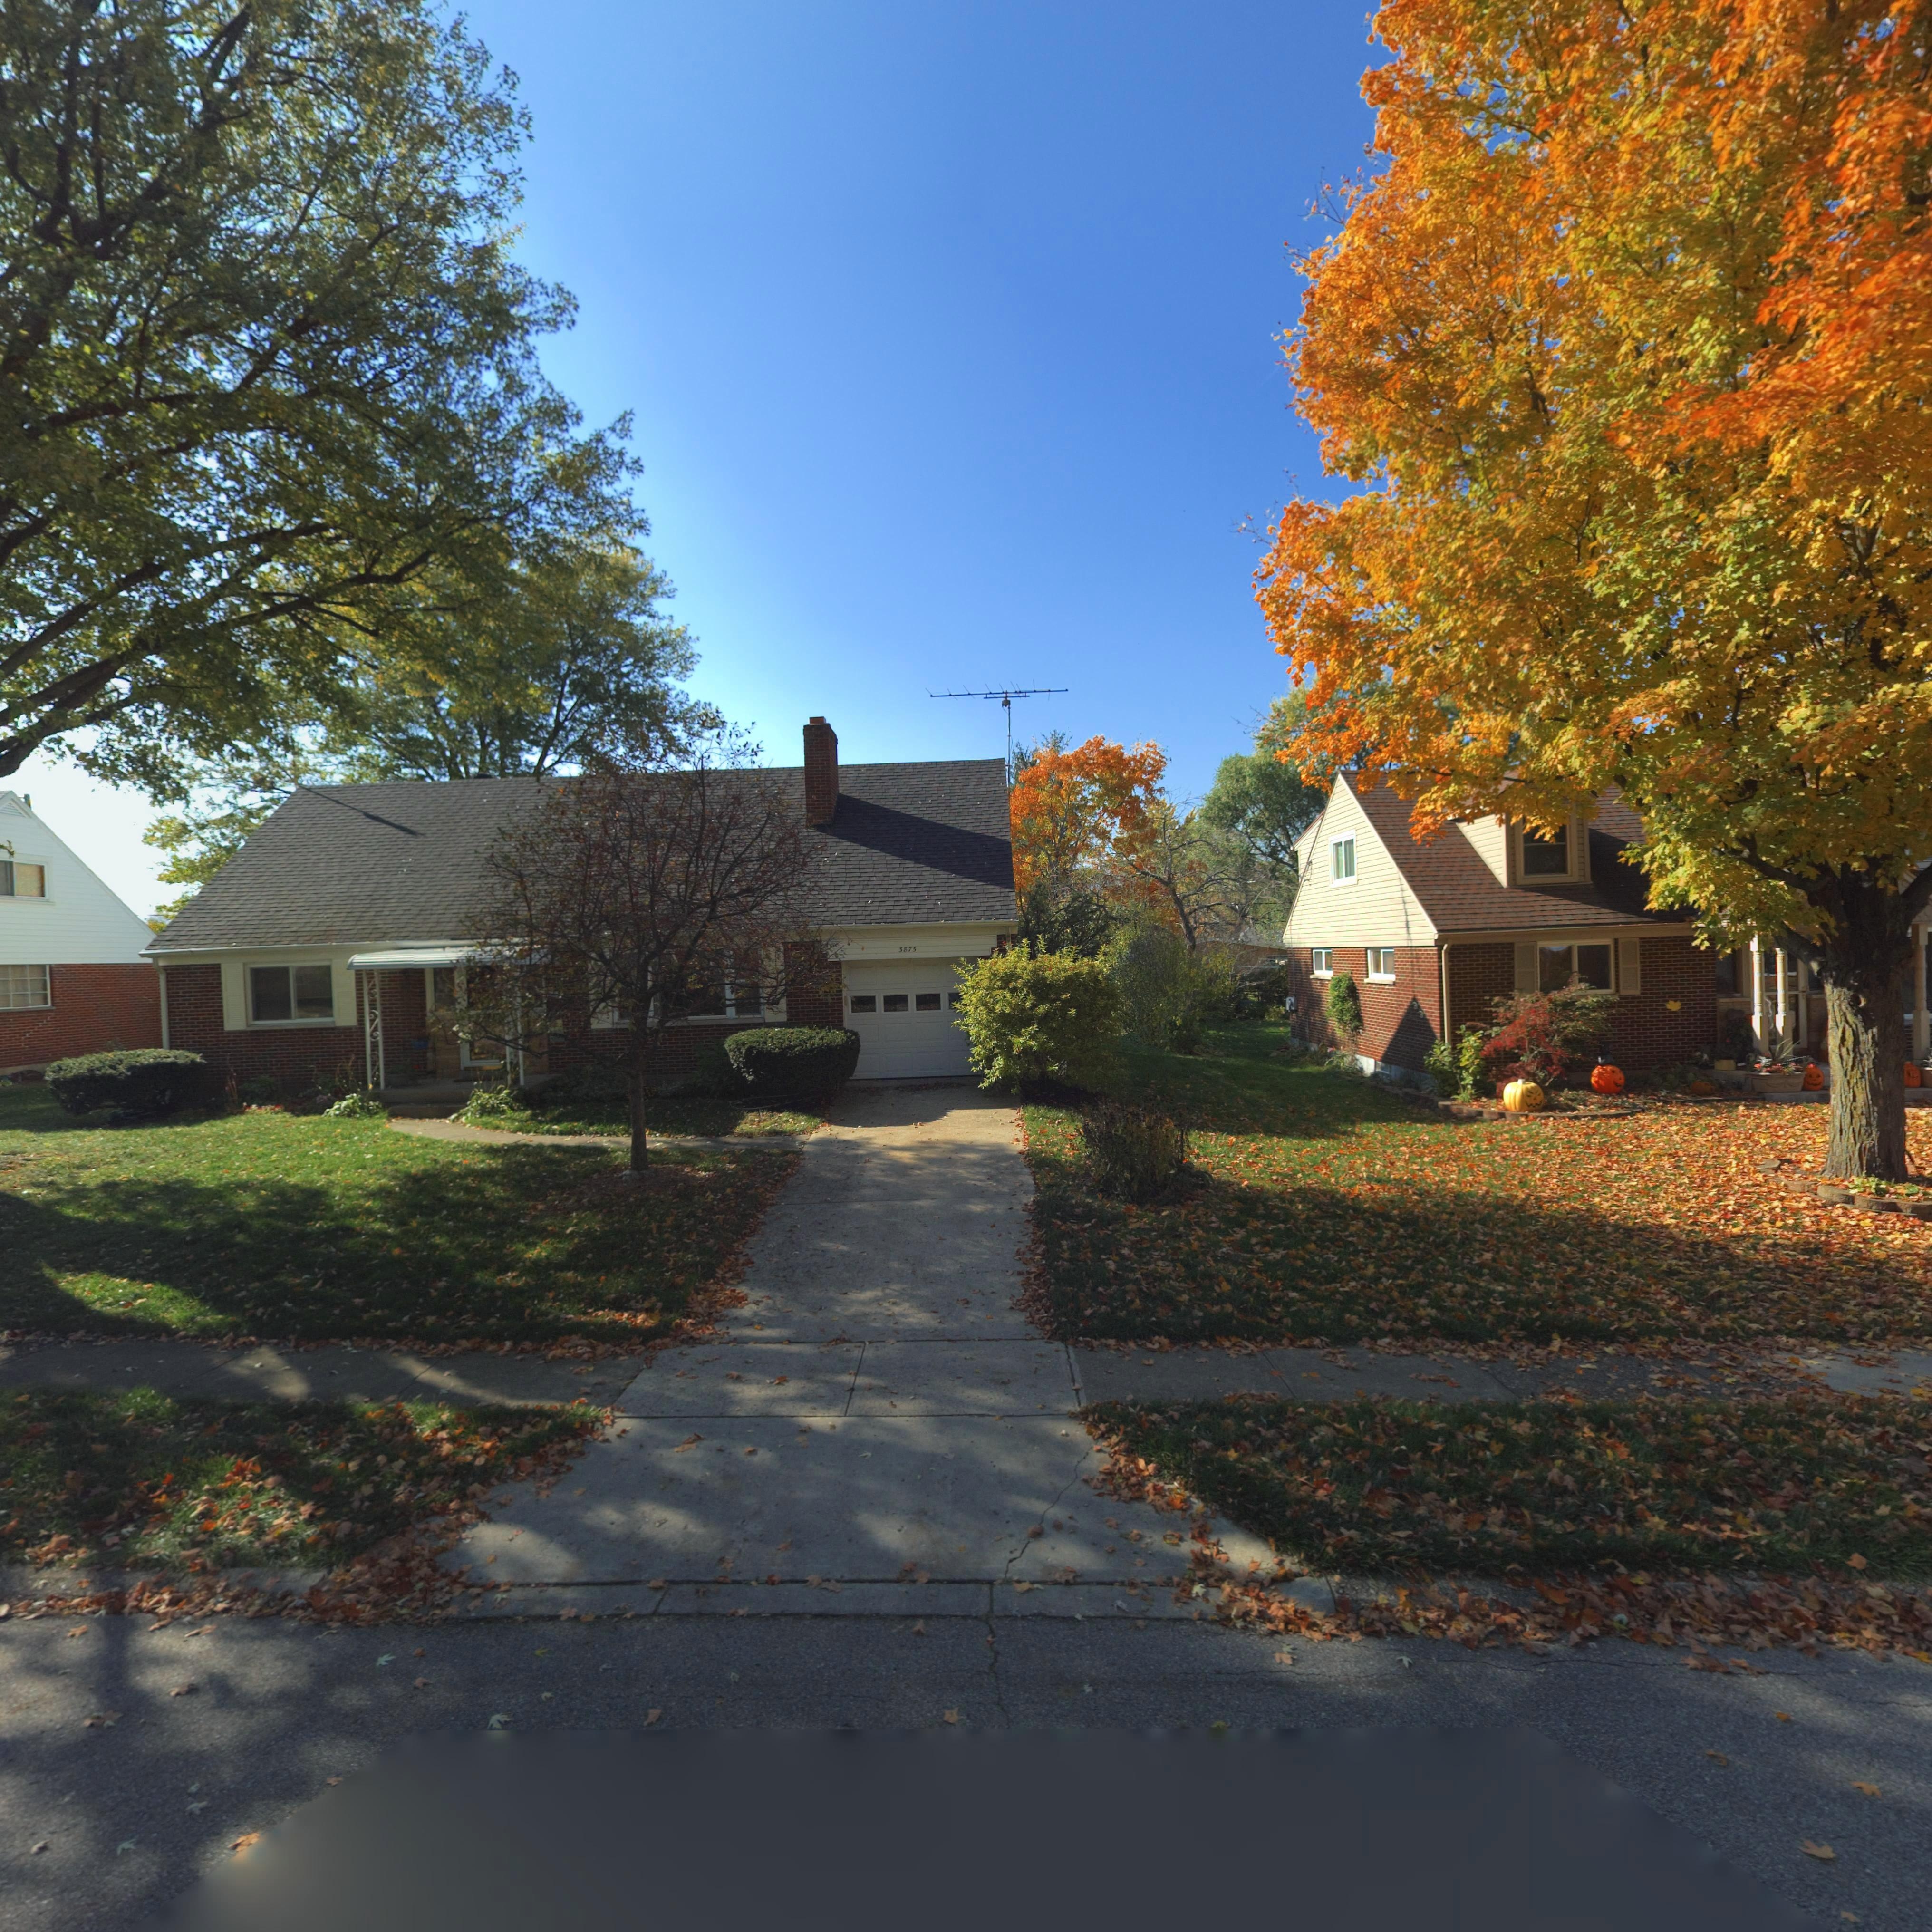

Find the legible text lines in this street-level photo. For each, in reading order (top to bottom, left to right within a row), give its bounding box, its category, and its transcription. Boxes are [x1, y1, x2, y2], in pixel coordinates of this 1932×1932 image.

[898, 946, 917, 953] StreetNumber: 3875